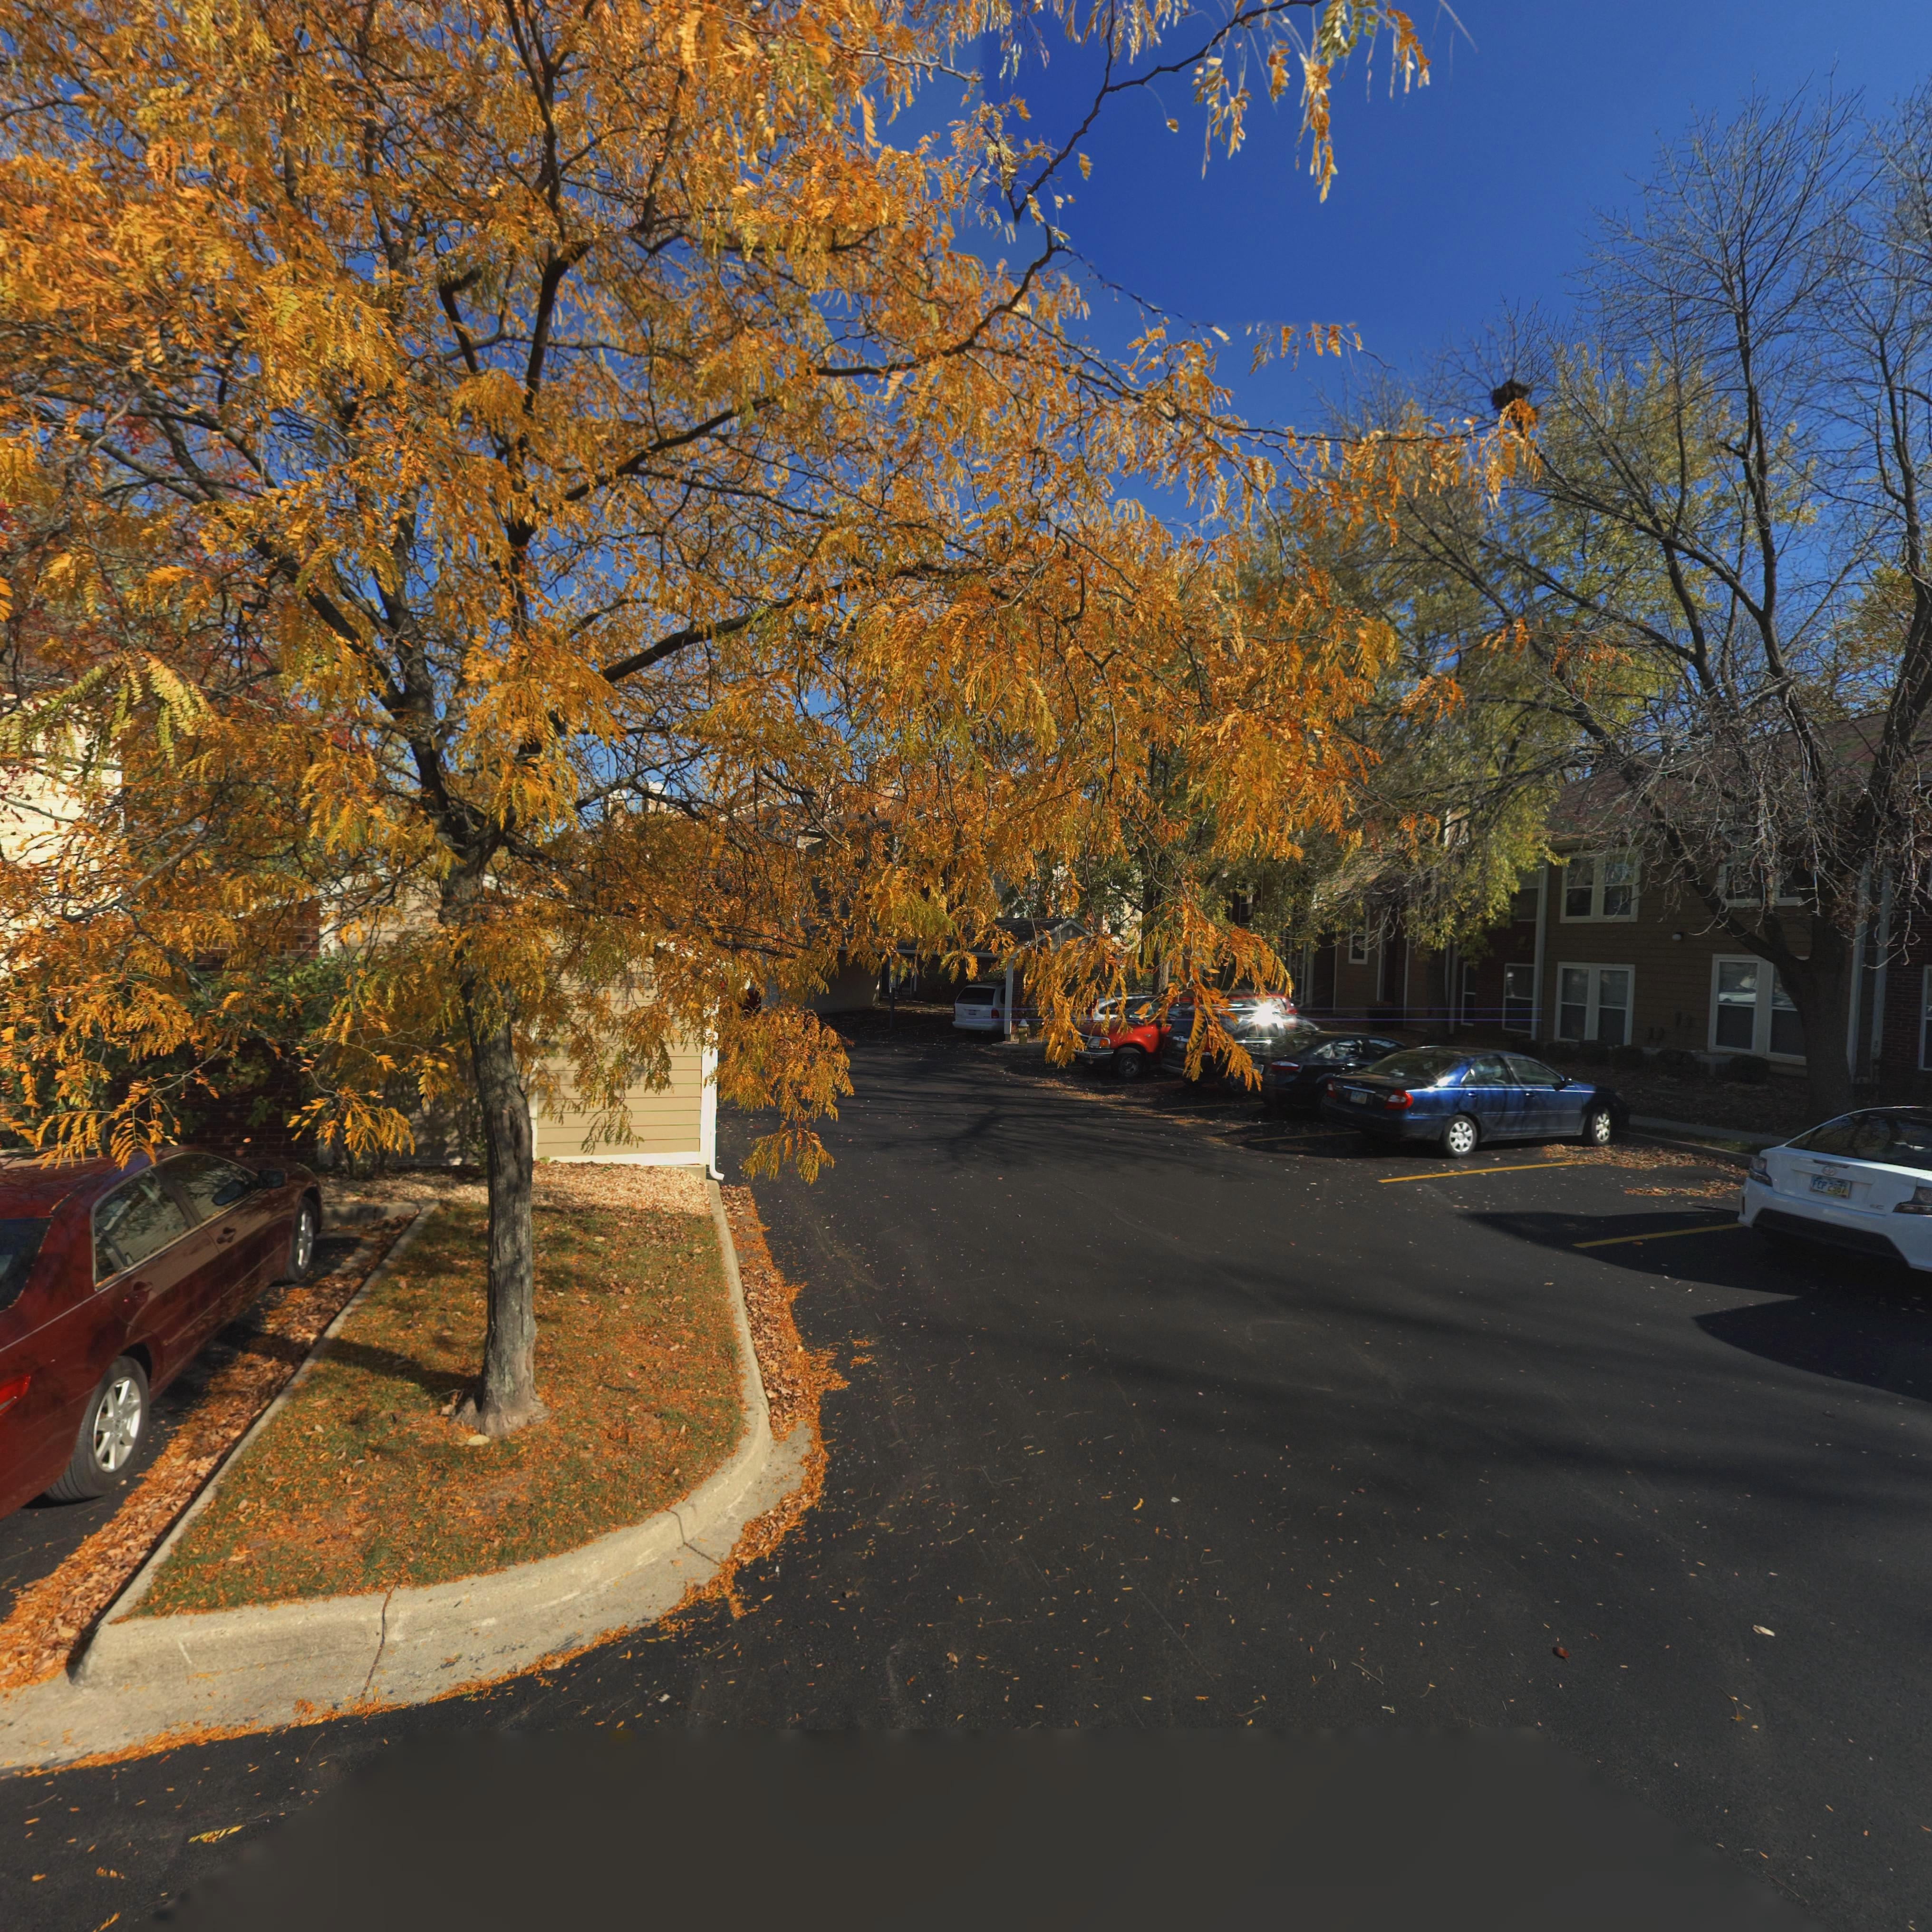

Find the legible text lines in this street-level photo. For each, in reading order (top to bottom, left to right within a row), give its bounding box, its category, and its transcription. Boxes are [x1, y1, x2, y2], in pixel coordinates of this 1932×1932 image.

[1810, 1178, 1848, 1195] None: FCP 2967